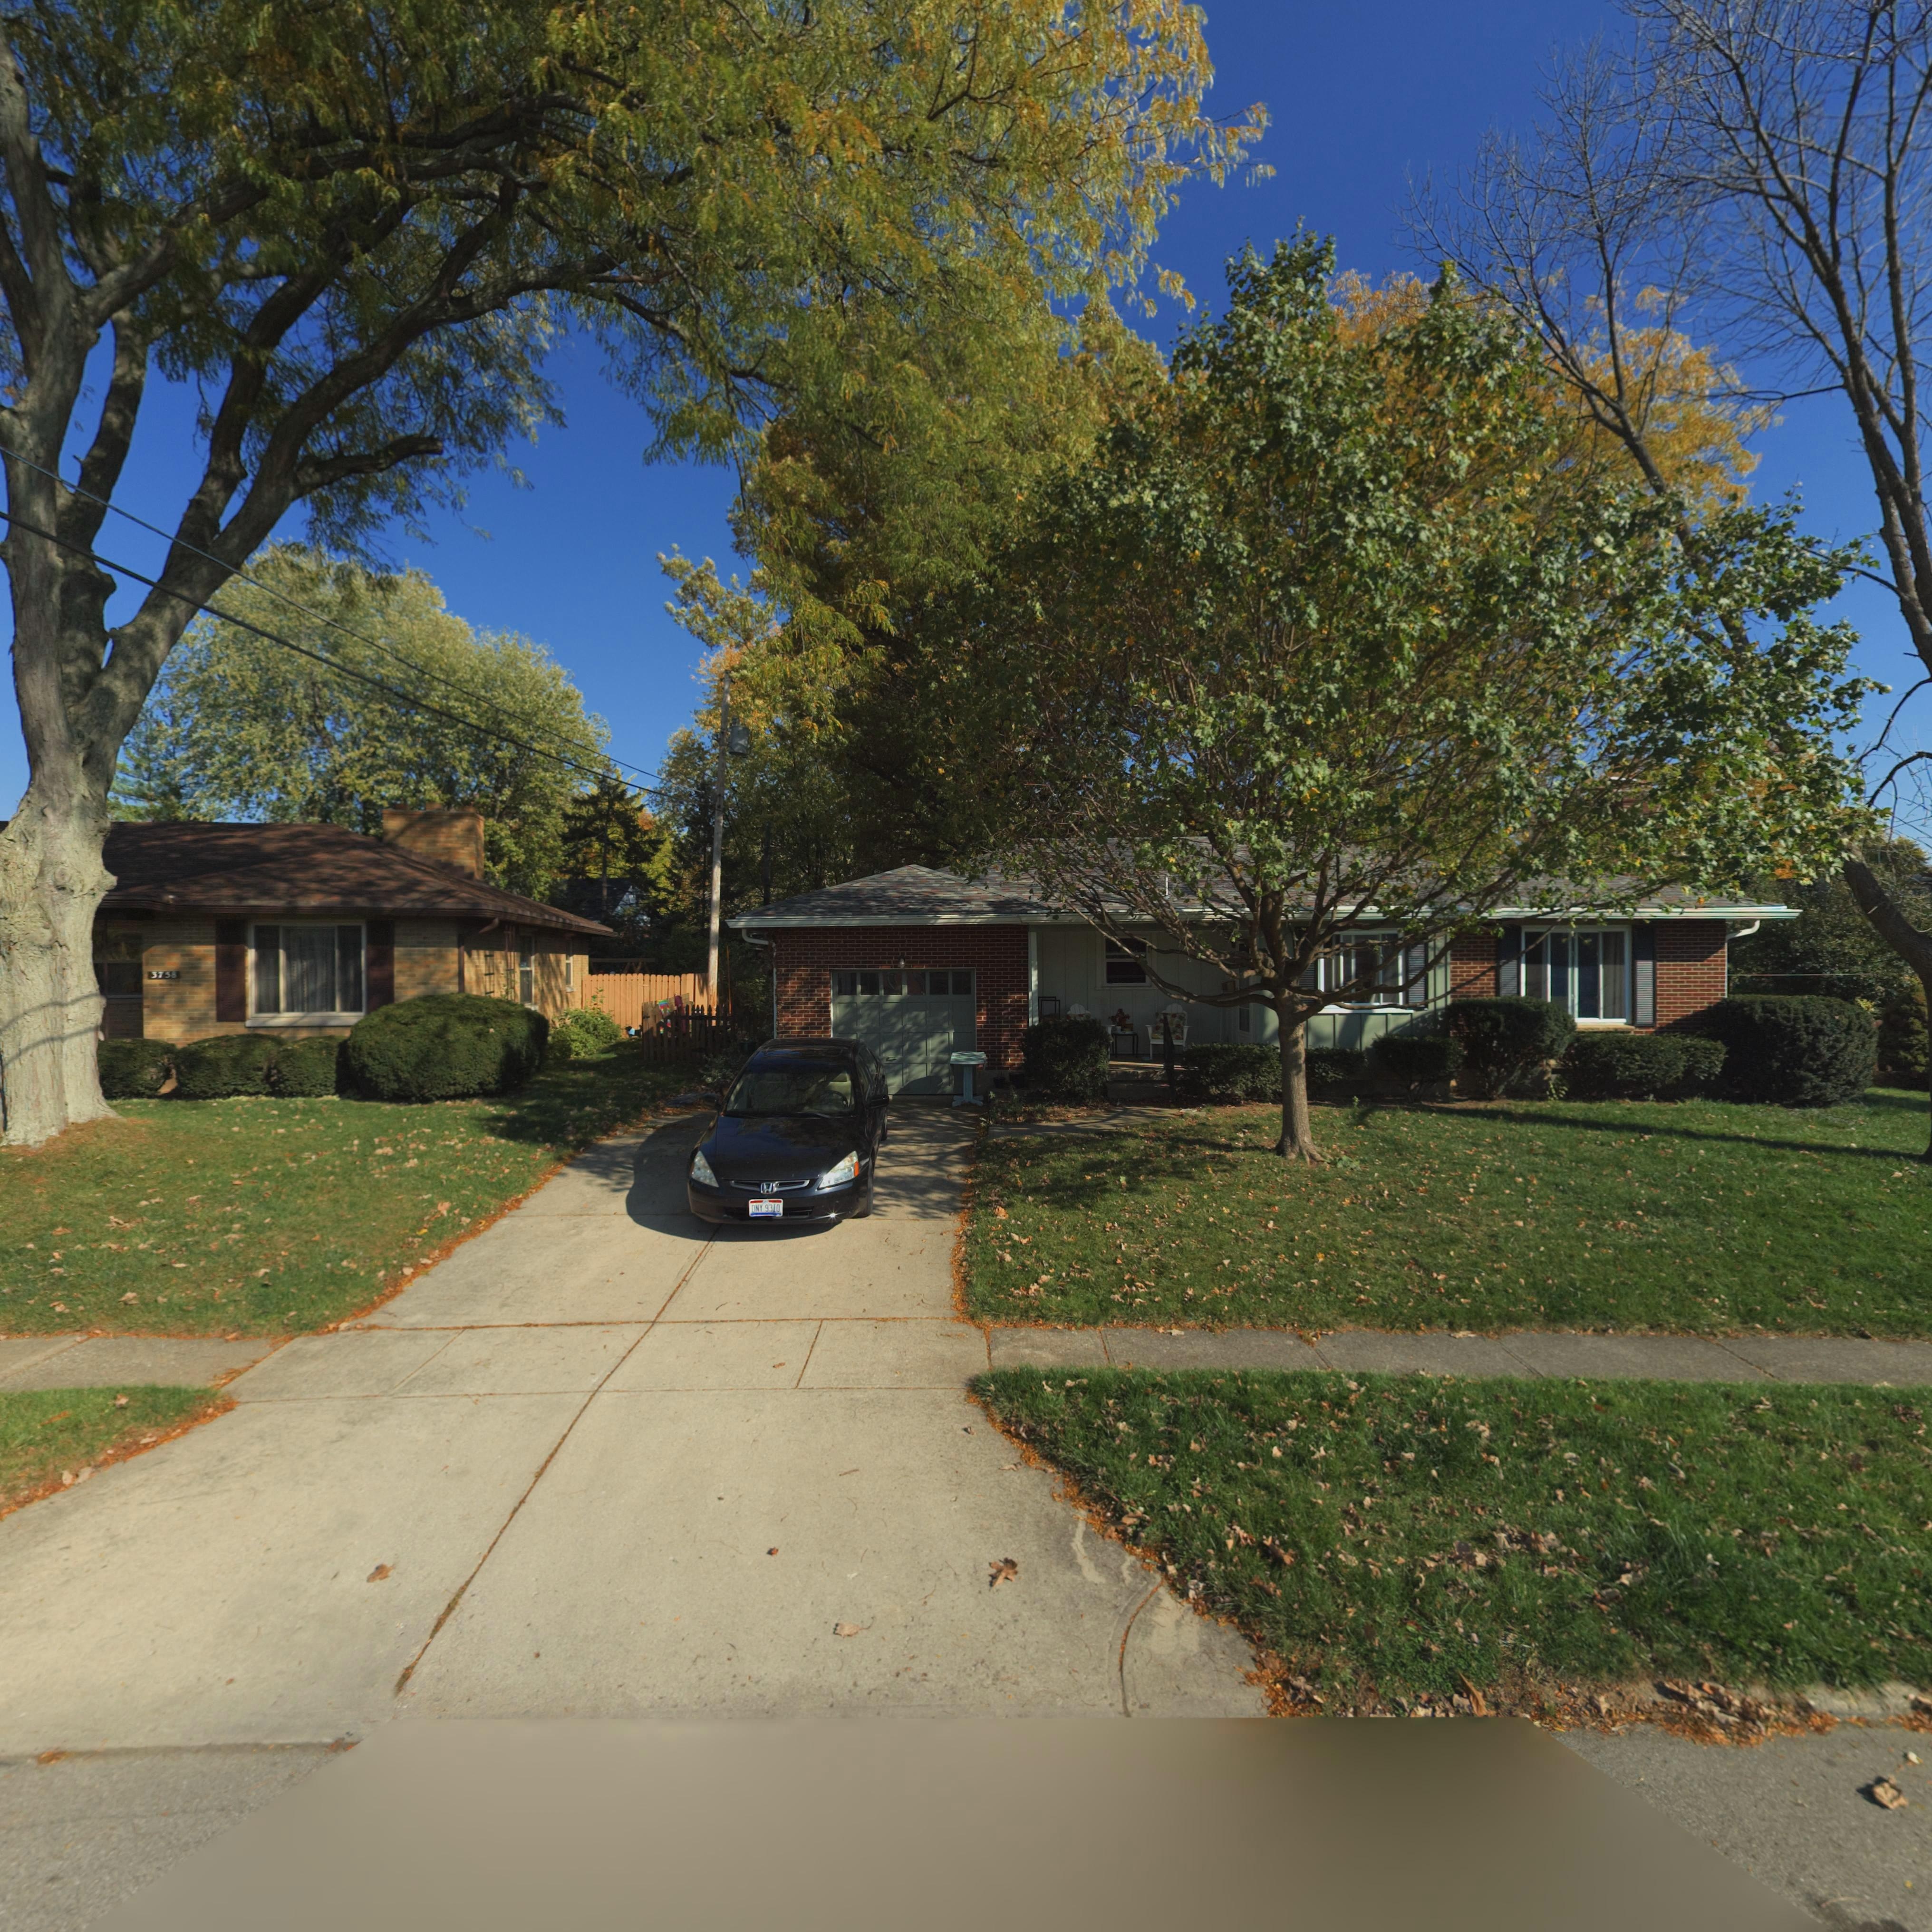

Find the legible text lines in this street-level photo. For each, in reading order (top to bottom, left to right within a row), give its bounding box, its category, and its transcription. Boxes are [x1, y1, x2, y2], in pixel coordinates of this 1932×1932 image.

[150, 971, 177, 979] StreetNumber: 3758
[751, 1204, 780, 1213] None: ONY*9310